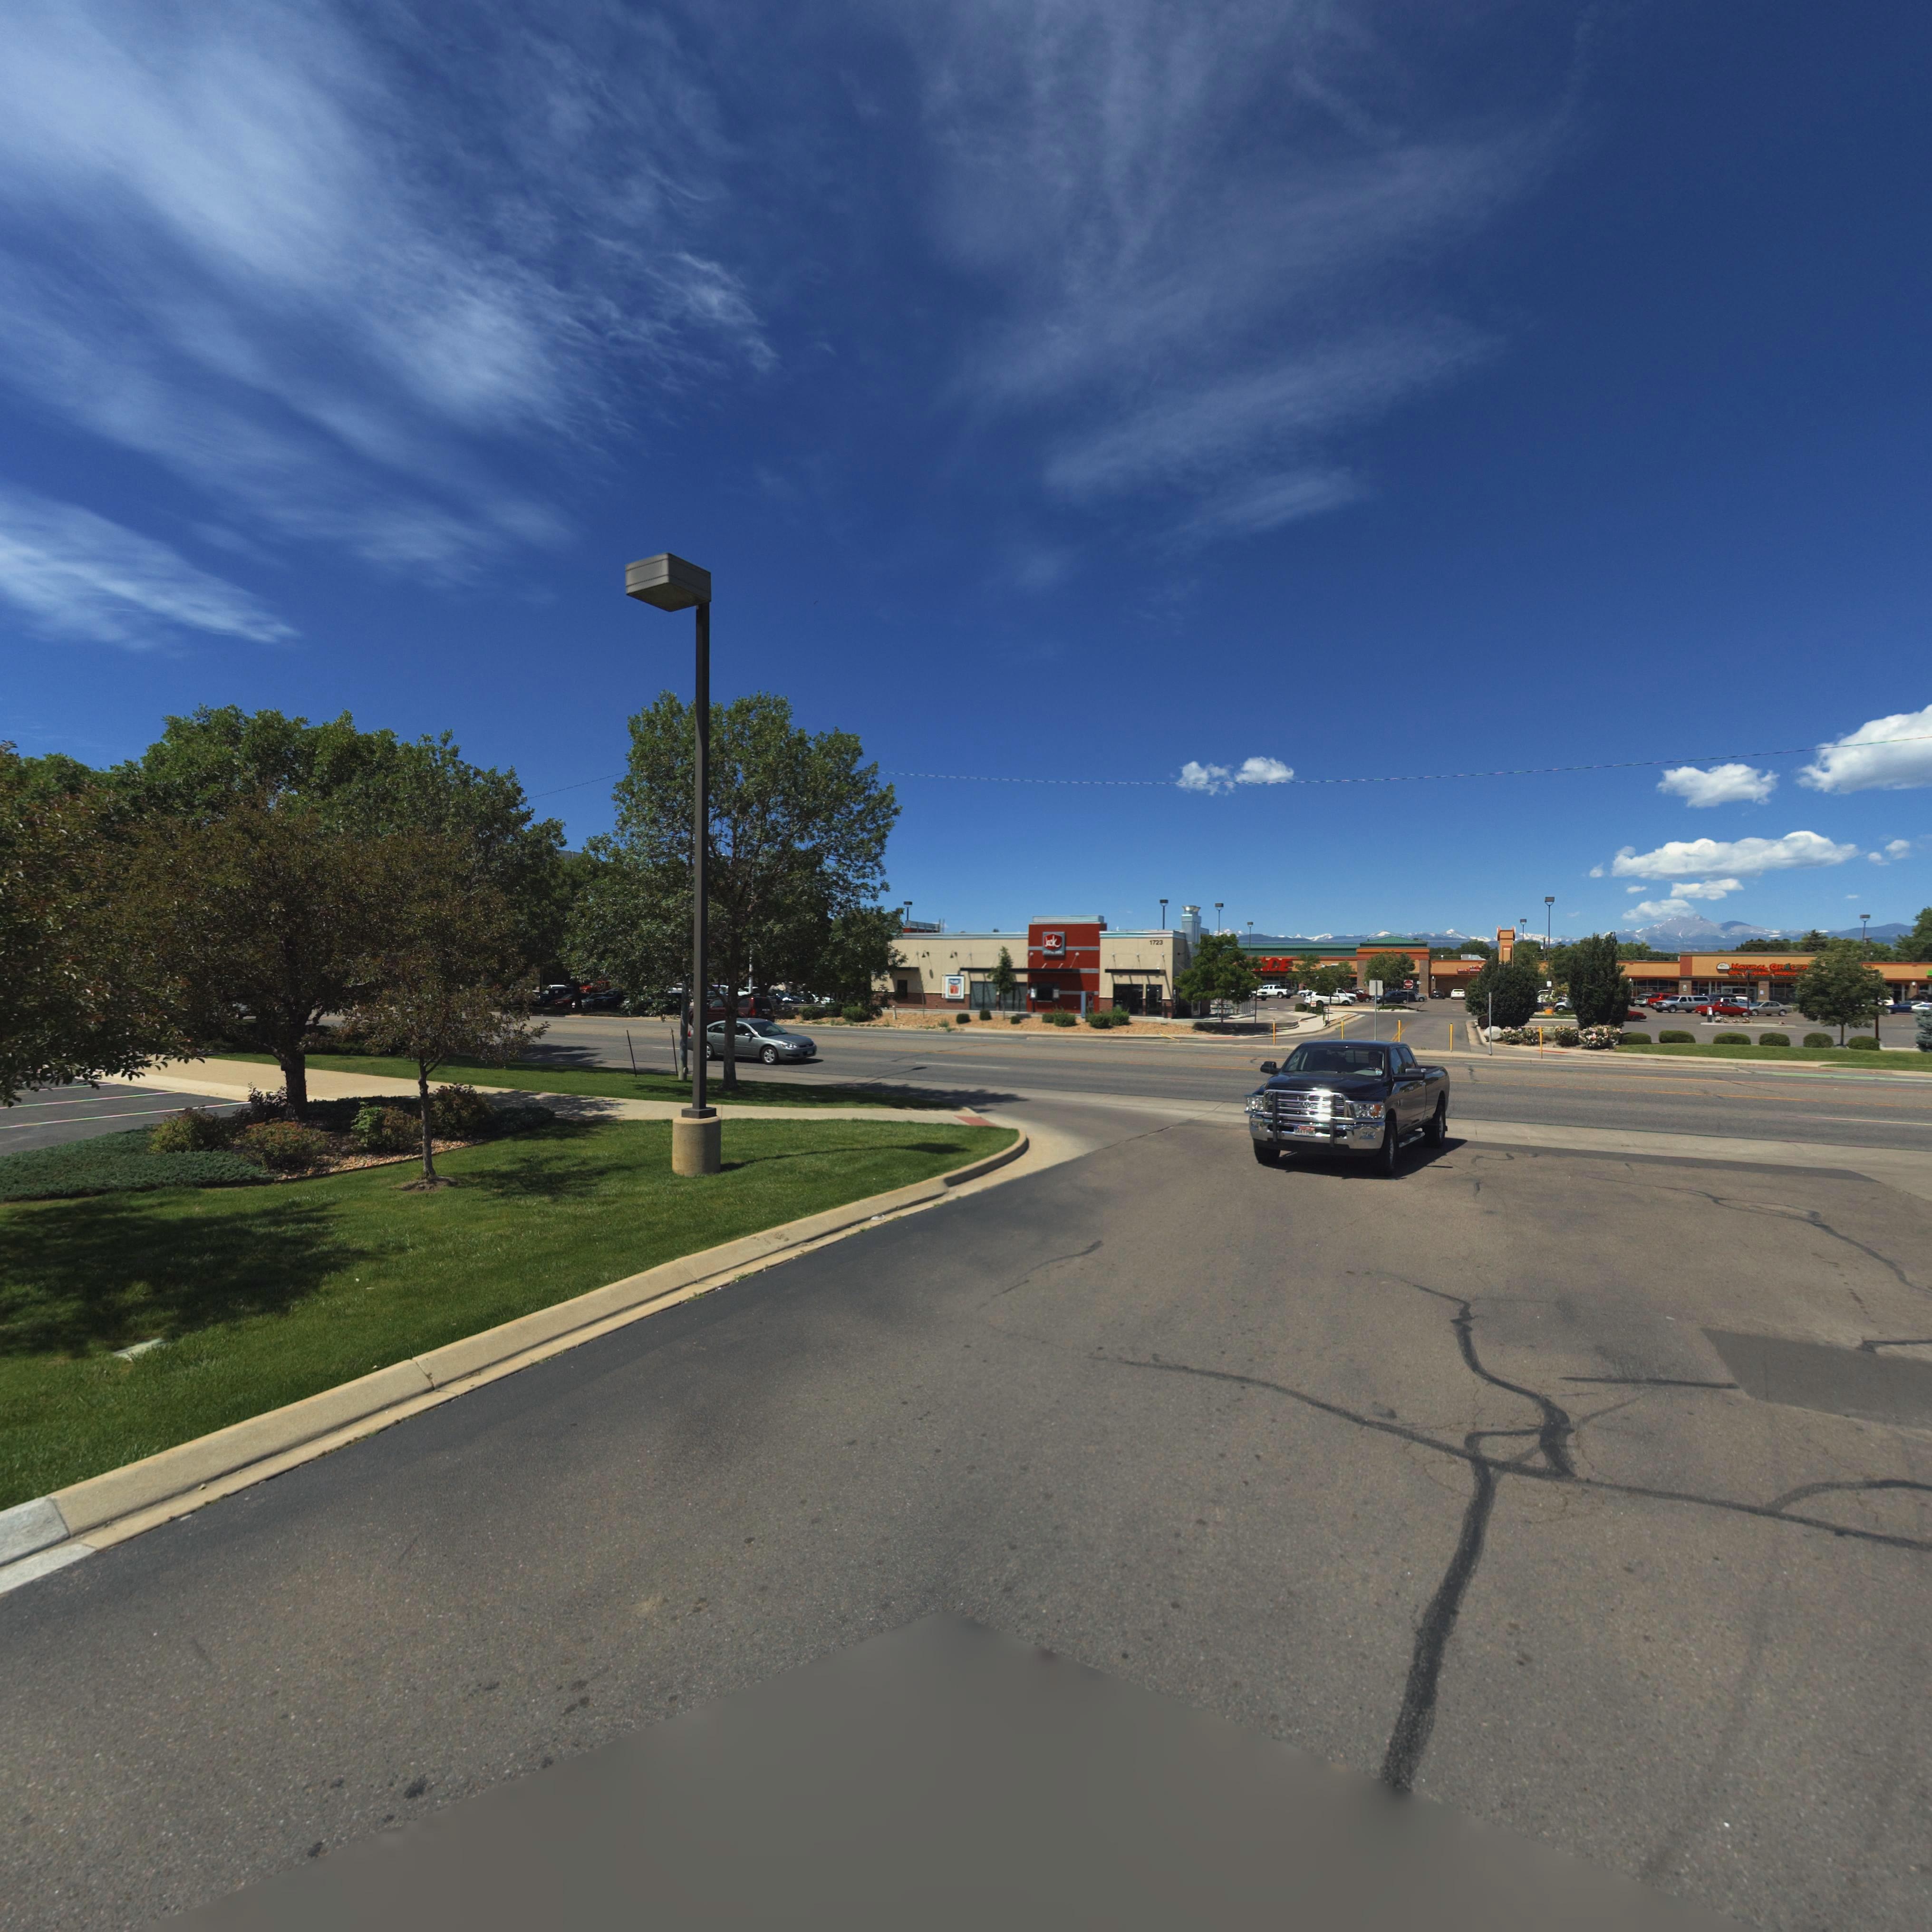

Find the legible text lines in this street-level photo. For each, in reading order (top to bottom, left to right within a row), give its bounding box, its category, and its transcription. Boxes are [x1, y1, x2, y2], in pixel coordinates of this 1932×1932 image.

[1043, 935, 1062, 947] BusinessName: J*ck
[1149, 939, 1163, 945] StreetNumber: 1723
[1253, 956, 1292, 972] BusinessName: *CE
[1731, 963, 1809, 970] BusinessName: NAT***L GR****